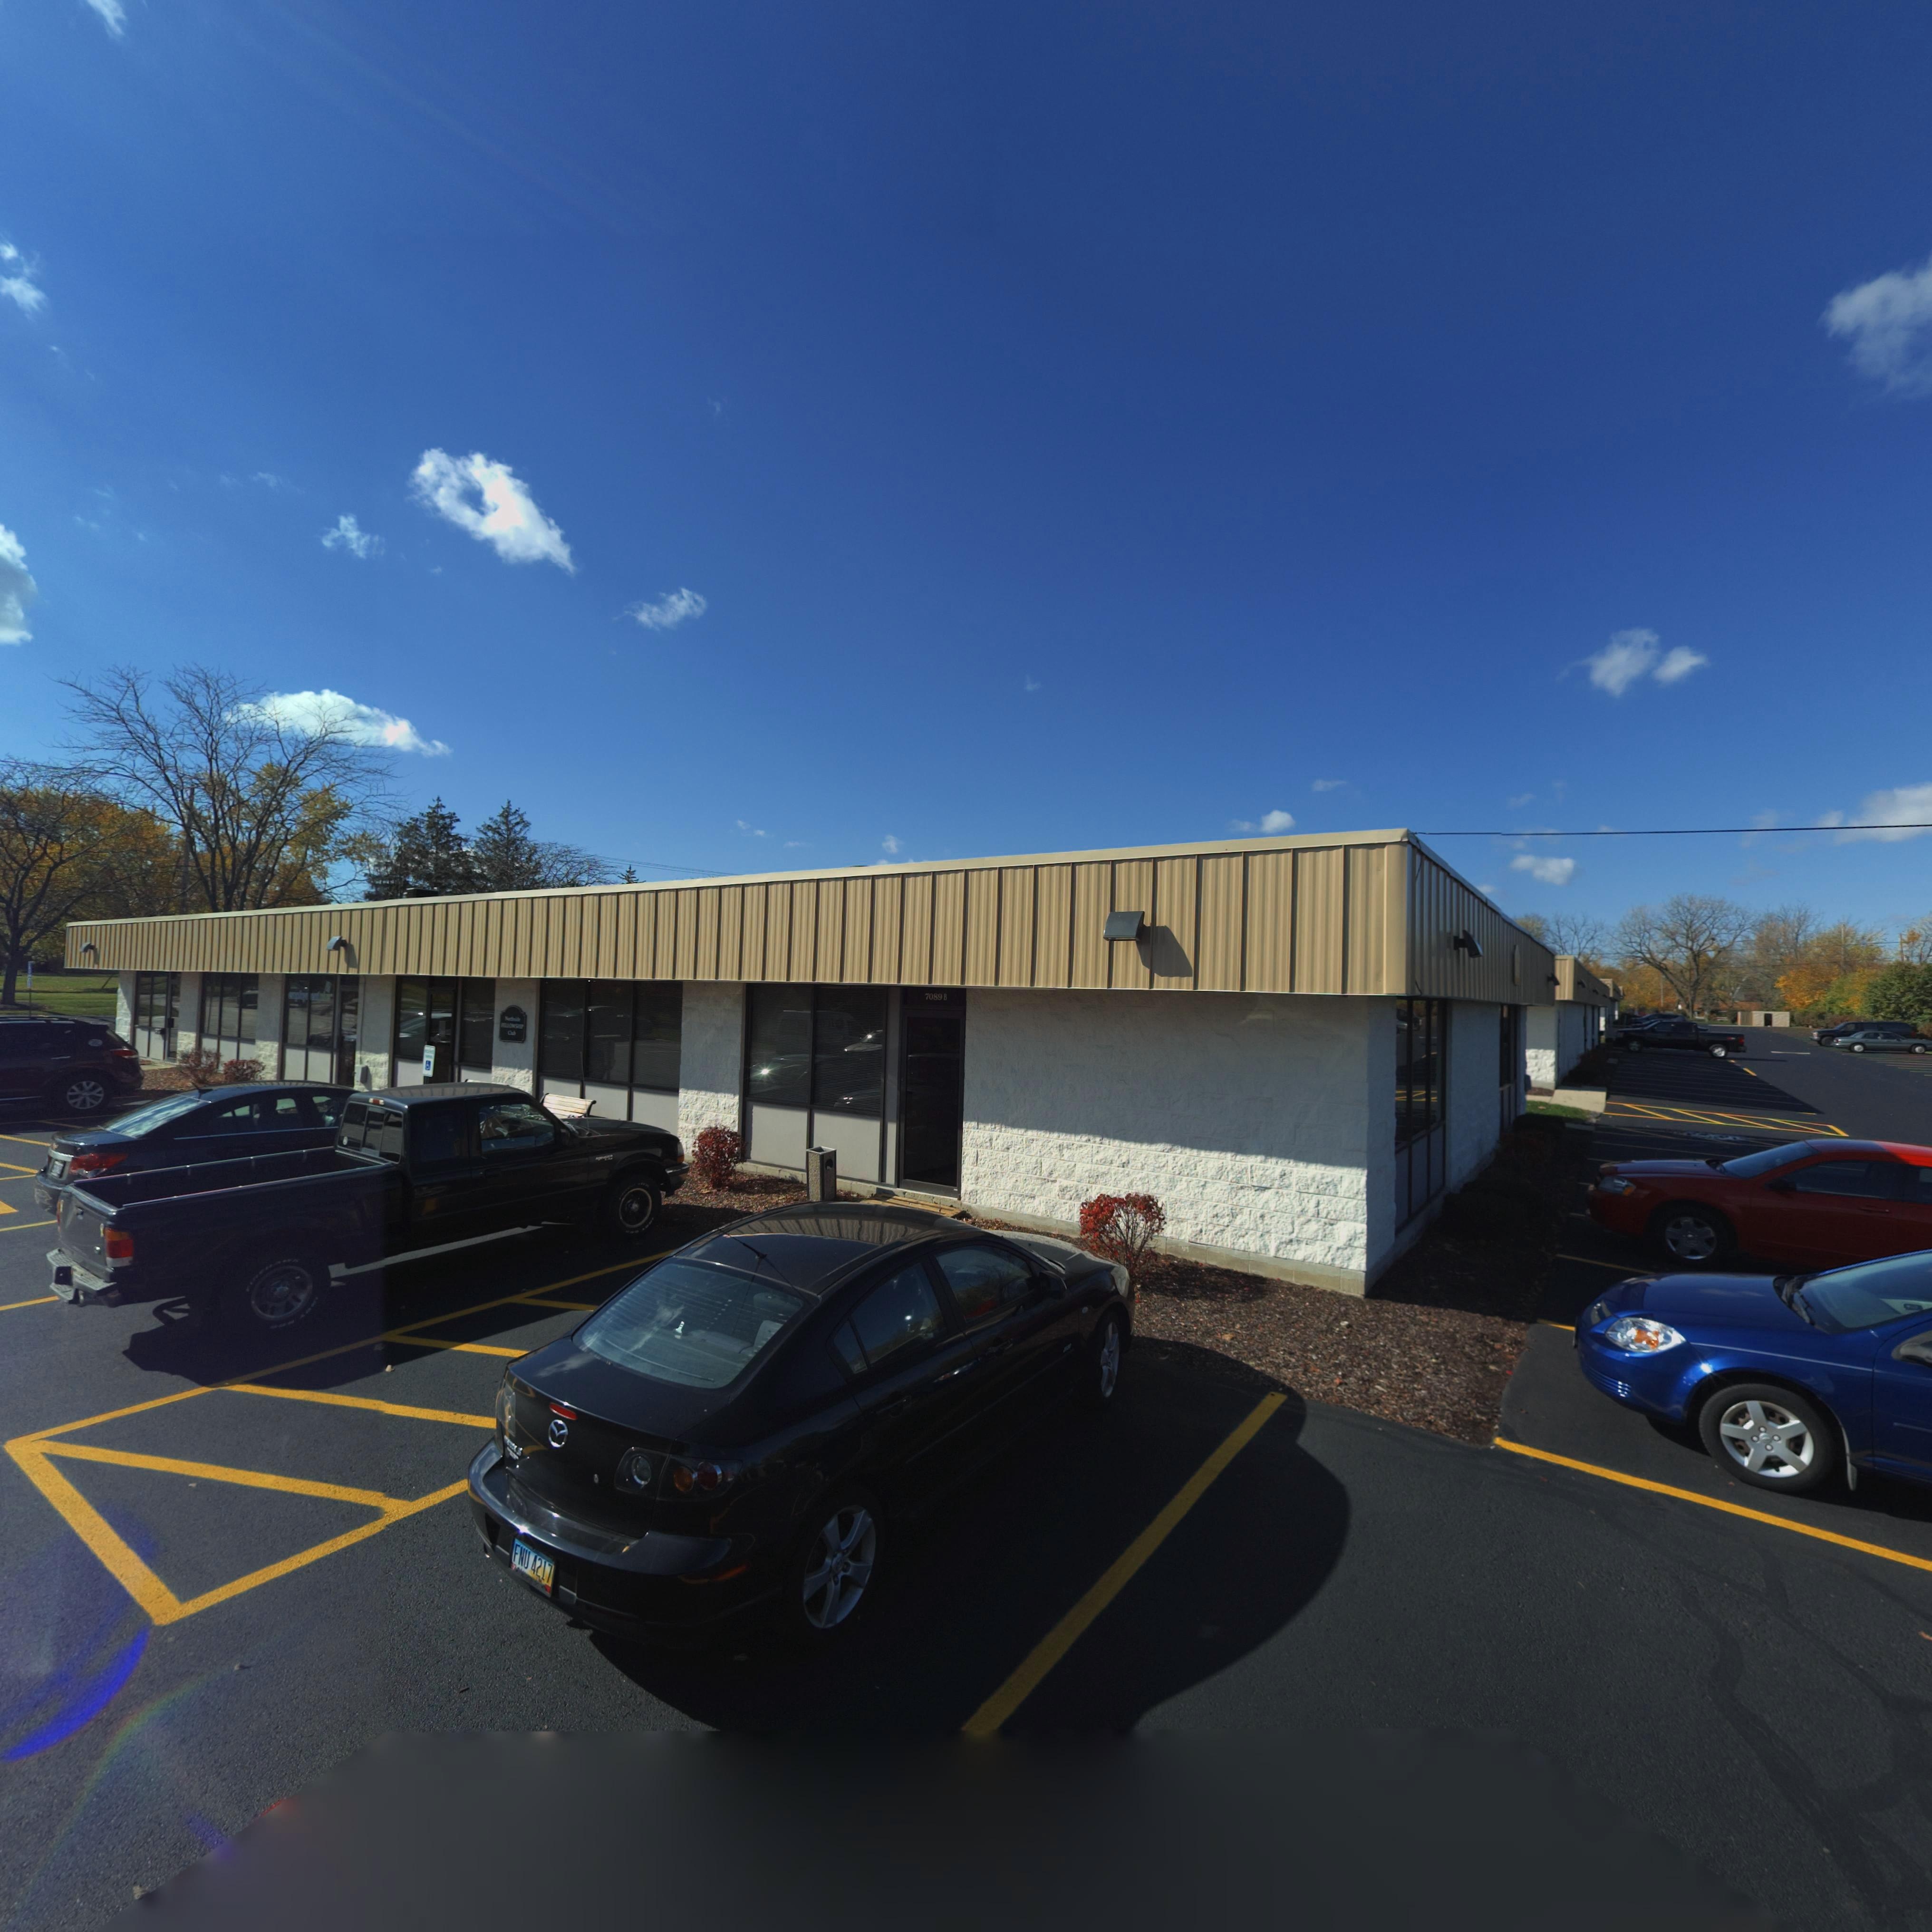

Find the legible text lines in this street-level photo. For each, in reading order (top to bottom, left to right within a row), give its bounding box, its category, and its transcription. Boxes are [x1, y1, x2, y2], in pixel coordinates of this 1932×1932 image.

[924, 992, 948, 1002] StreetNumber: 7089 B